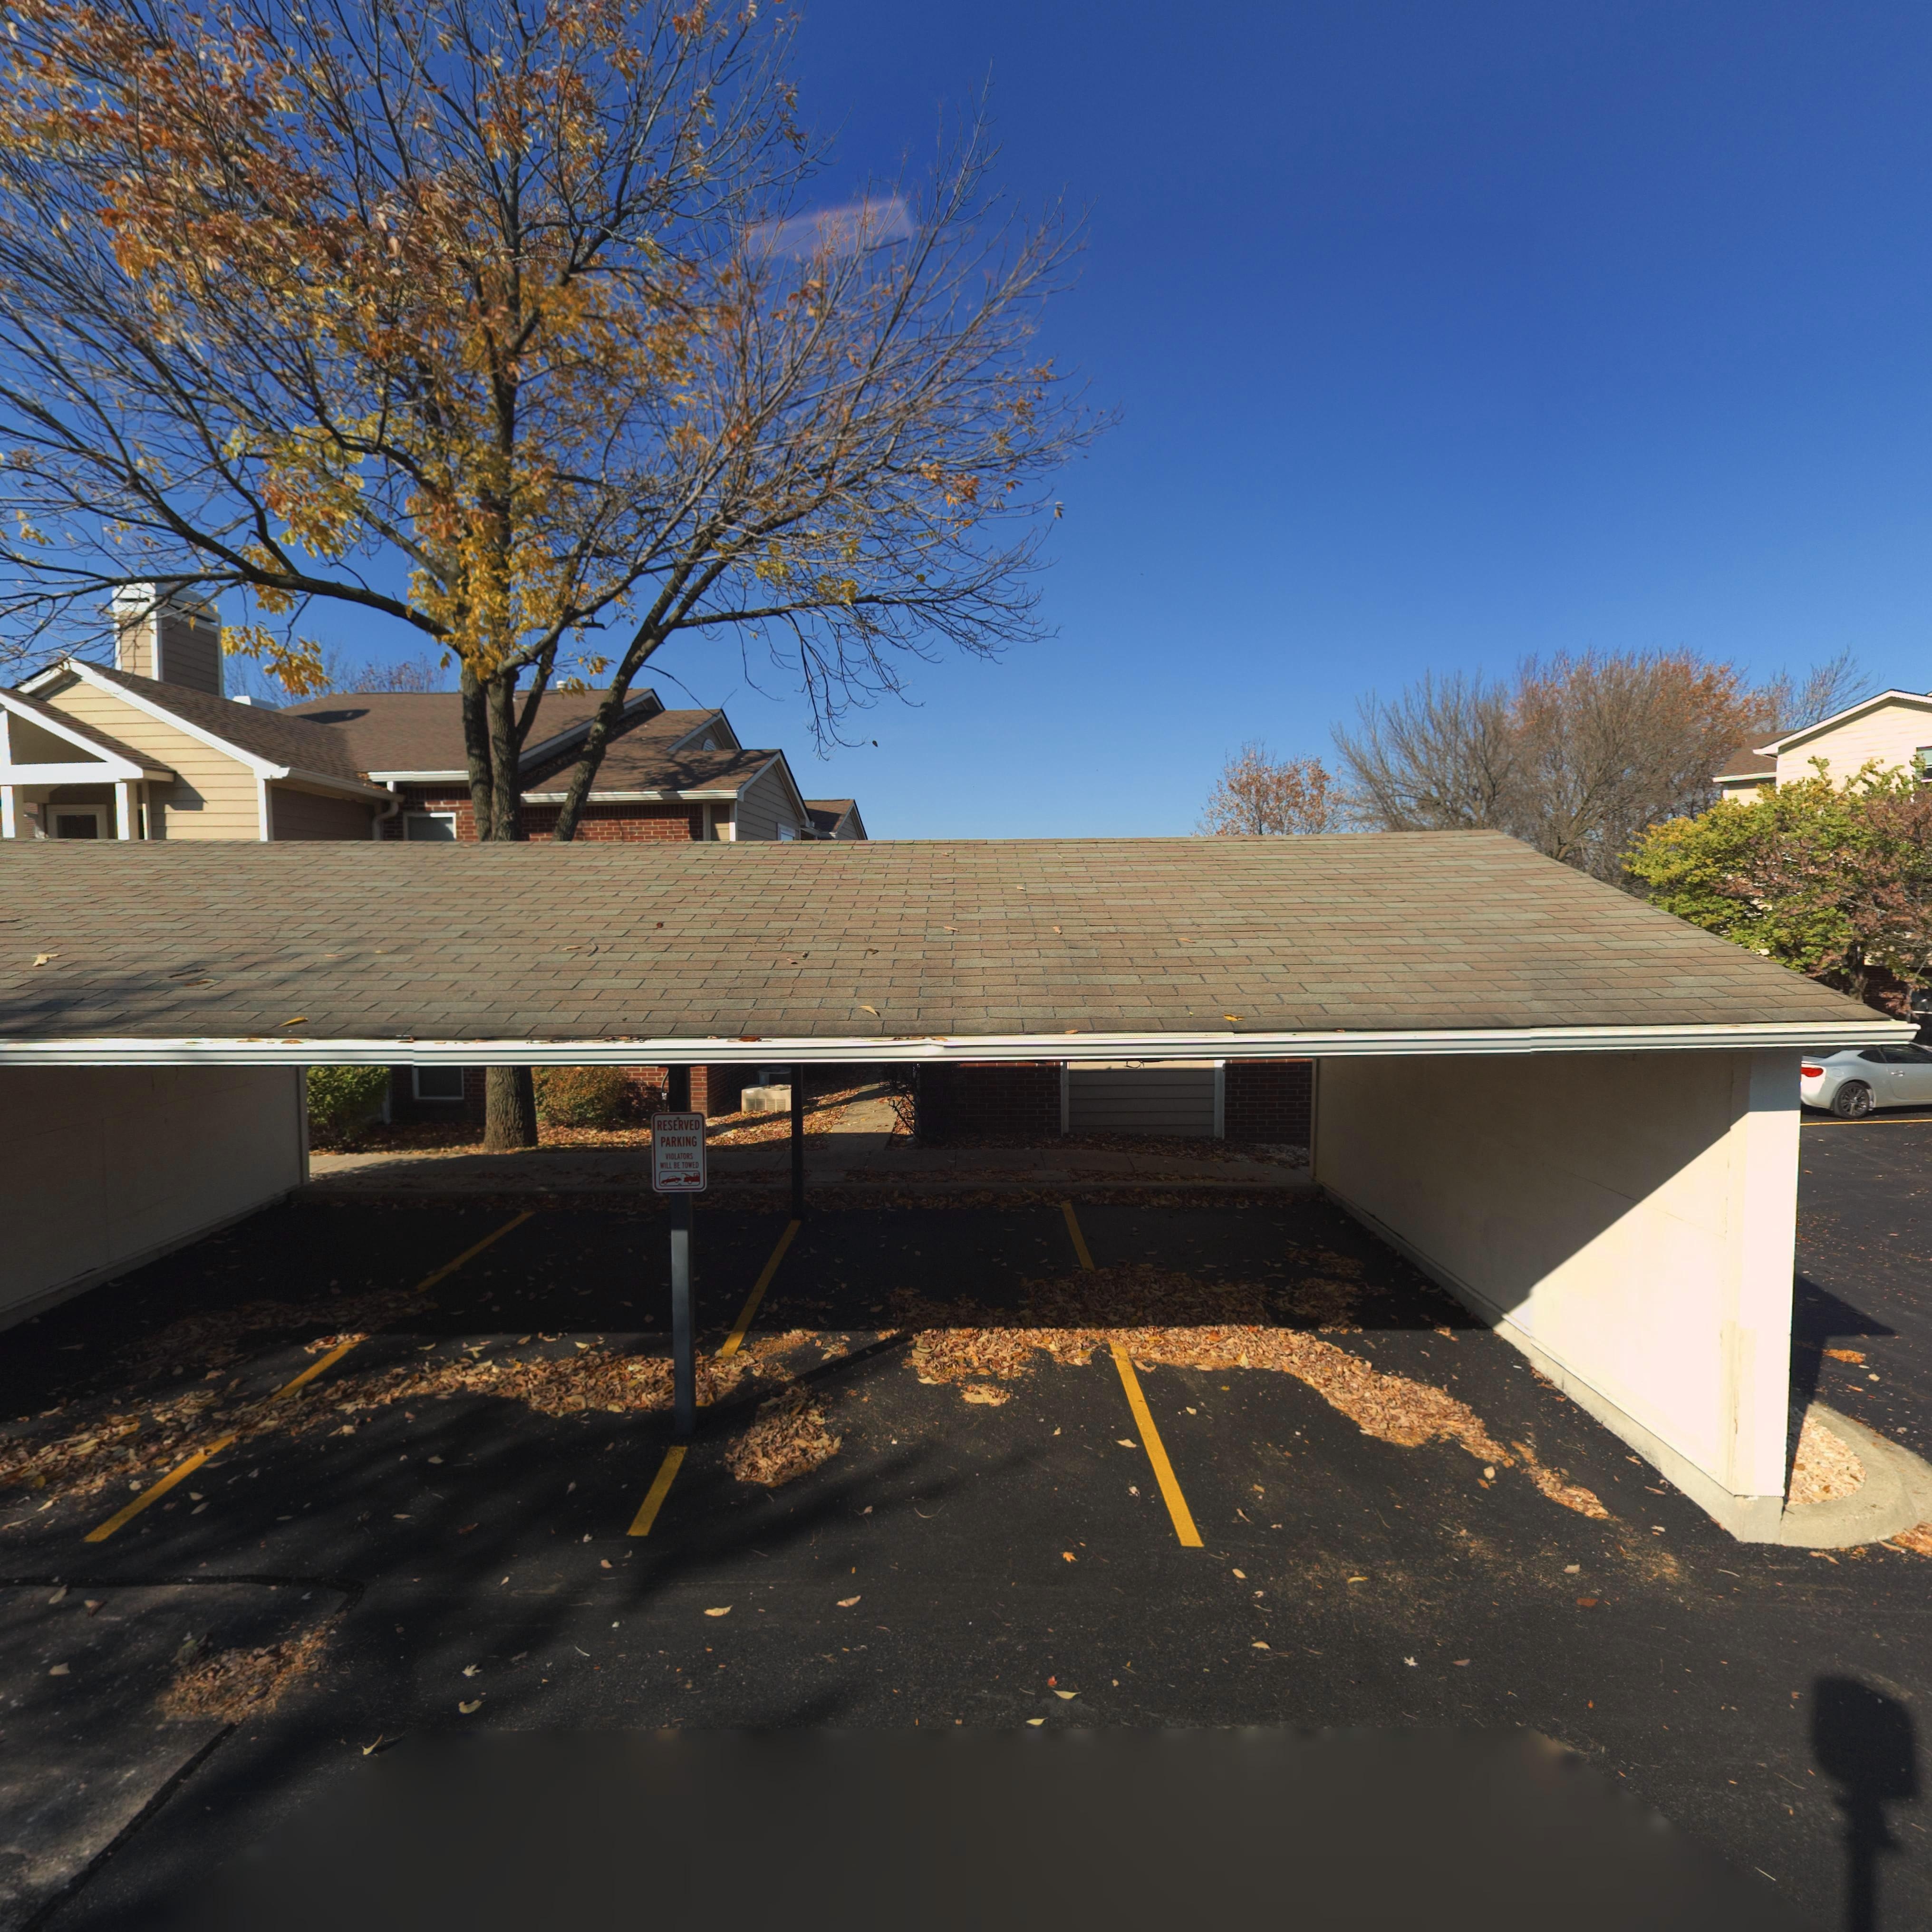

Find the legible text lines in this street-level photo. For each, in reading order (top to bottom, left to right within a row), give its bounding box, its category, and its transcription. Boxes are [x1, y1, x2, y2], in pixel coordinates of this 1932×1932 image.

[656, 1118, 701, 1132] None: RESERVED
[660, 1135, 698, 1148] None: PARKING
[664, 1151, 695, 1162] None: VIOLATORS
[658, 1160, 700, 1170] None: *ILL BE TO*ED